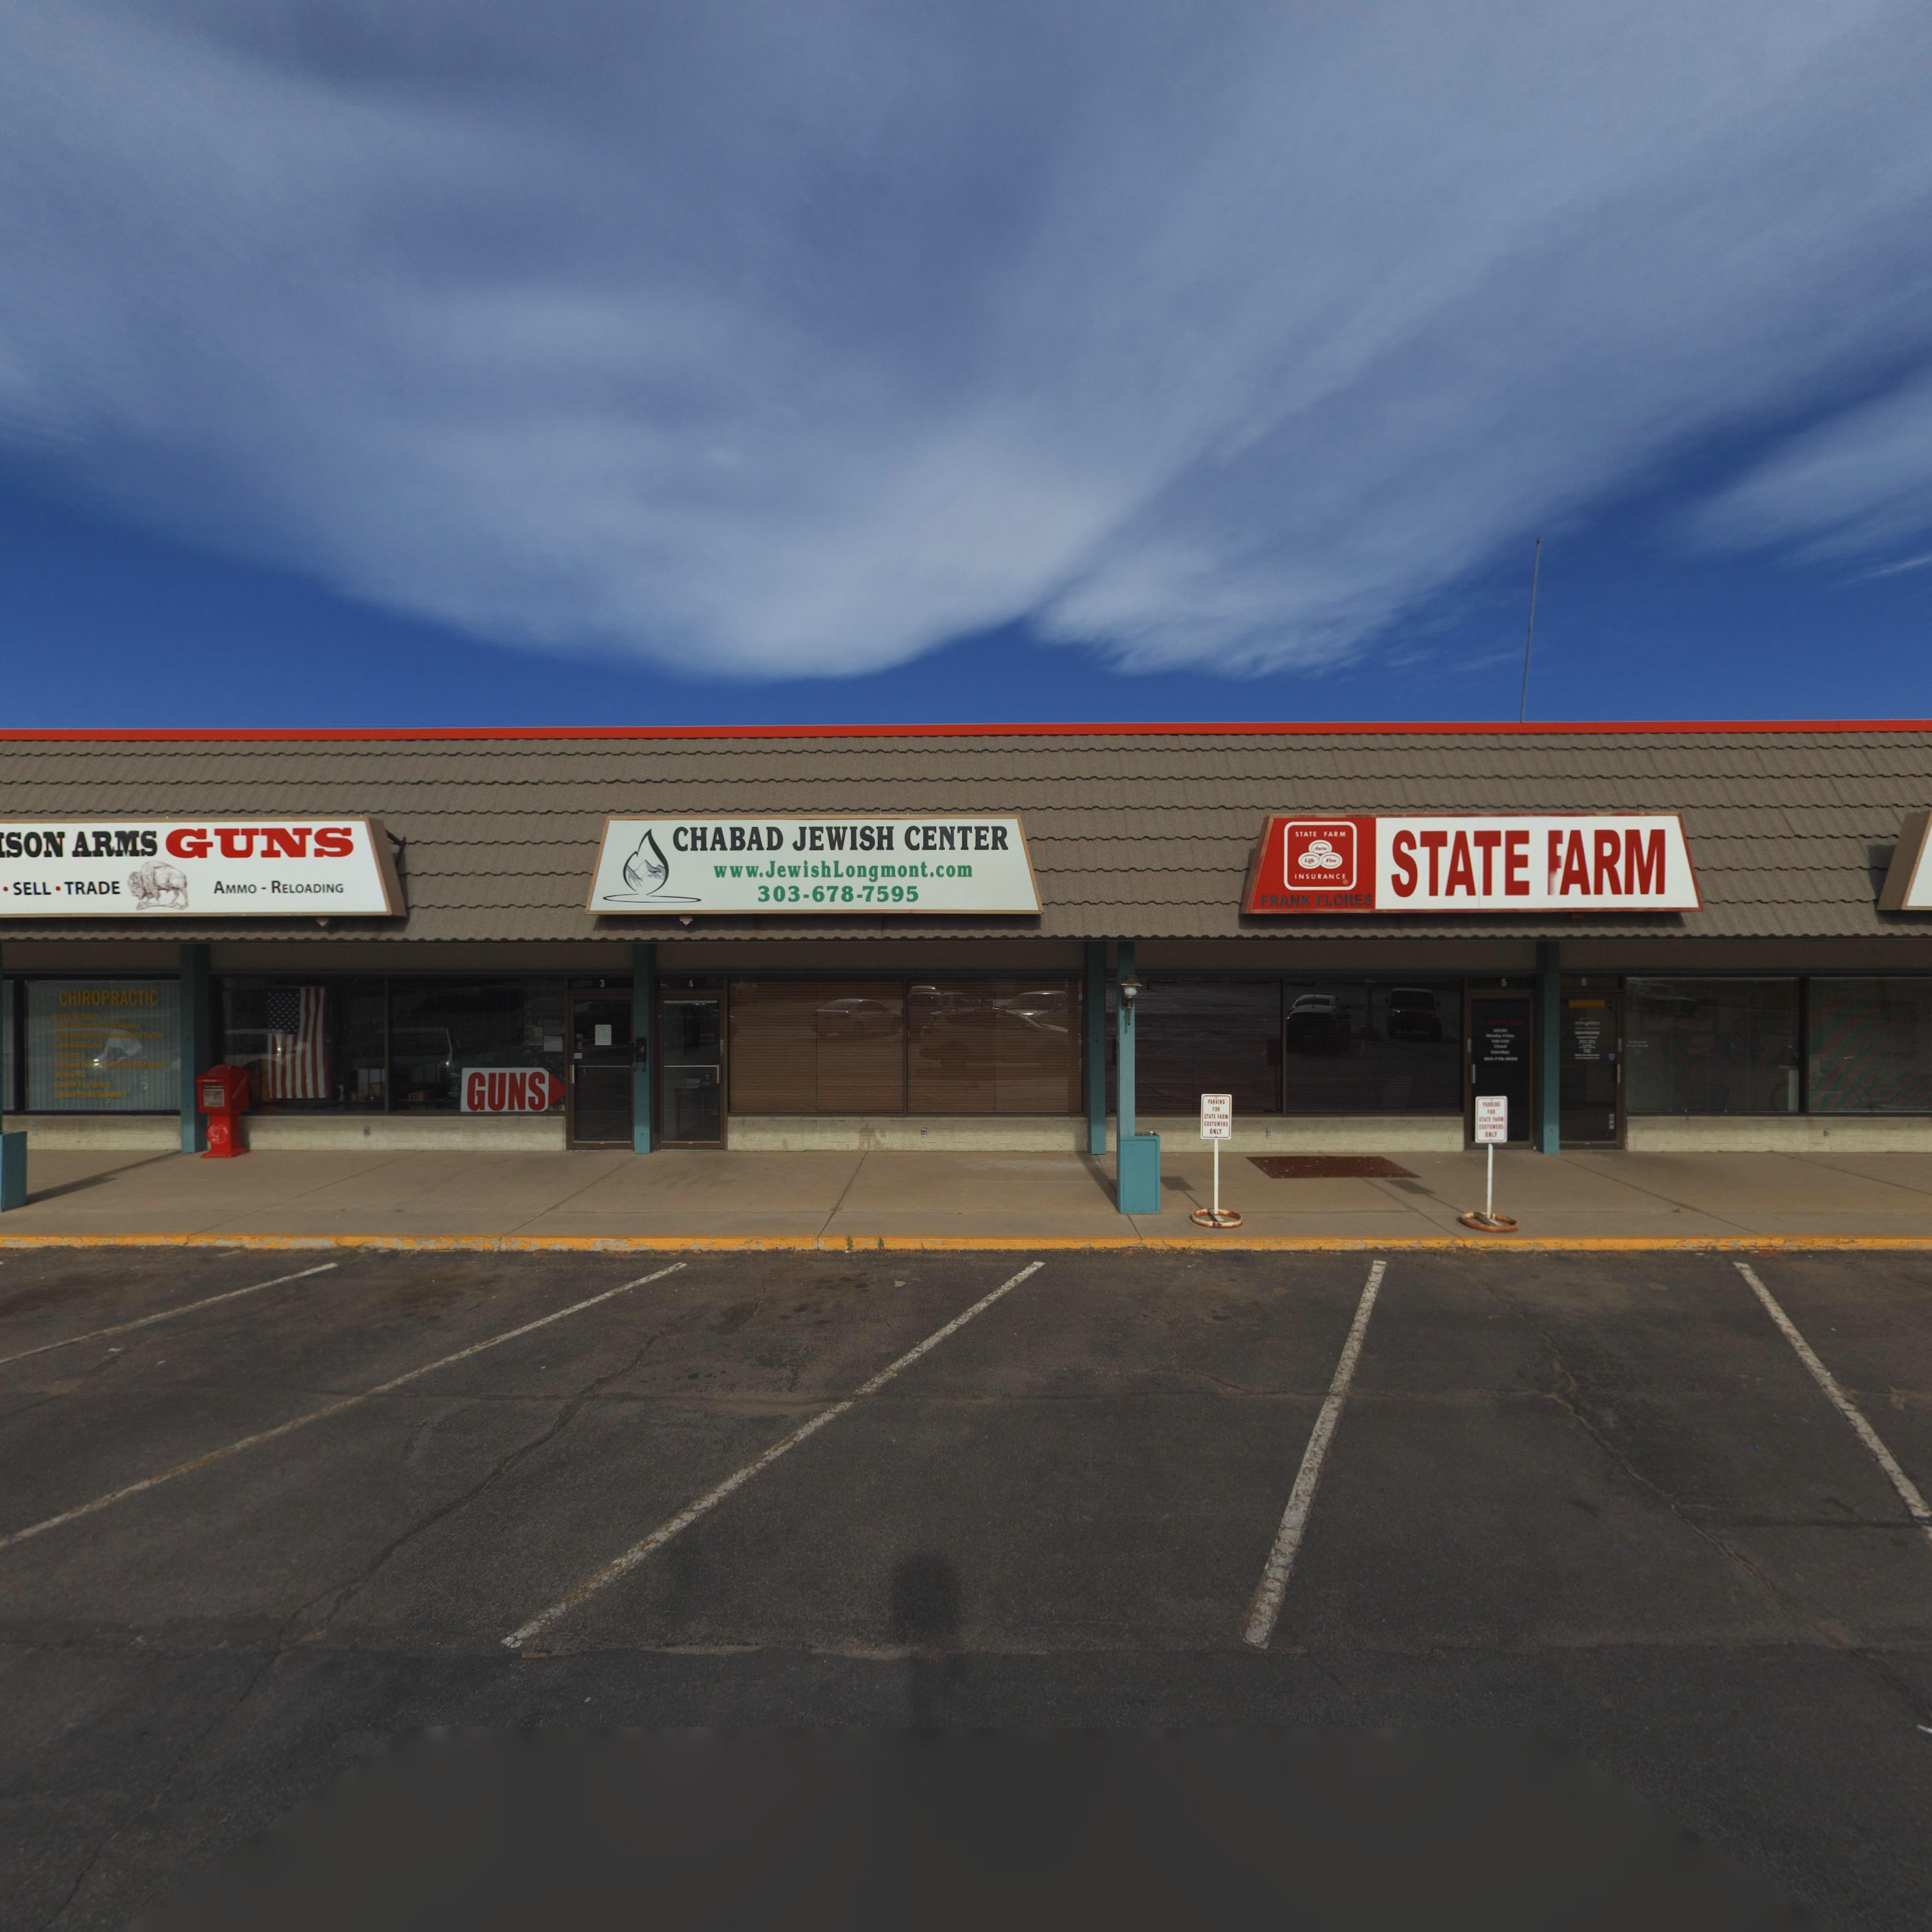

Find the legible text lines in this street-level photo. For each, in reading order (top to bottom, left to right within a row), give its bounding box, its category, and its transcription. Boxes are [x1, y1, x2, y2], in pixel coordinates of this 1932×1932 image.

[672, 823, 1010, 852] BusinessName: CHABAD JEWISH CENTER
[1294, 831, 1347, 837] BusinessName: STATE FARM
[5, 826, 356, 860] BusinessName: SON ARMS GUNS
[1390, 828, 1666, 899] BusinessName: STATE FARM
[1294, 873, 1347, 880] BusinessName: INSURANCE
[599, 979, 605, 987] StreetNumber: 3
[688, 979, 694, 987] StreetNumber: 4
[1500, 976, 1507, 988] StreetNumber: 5
[1580, 976, 1588, 987] StreetNumber: 6